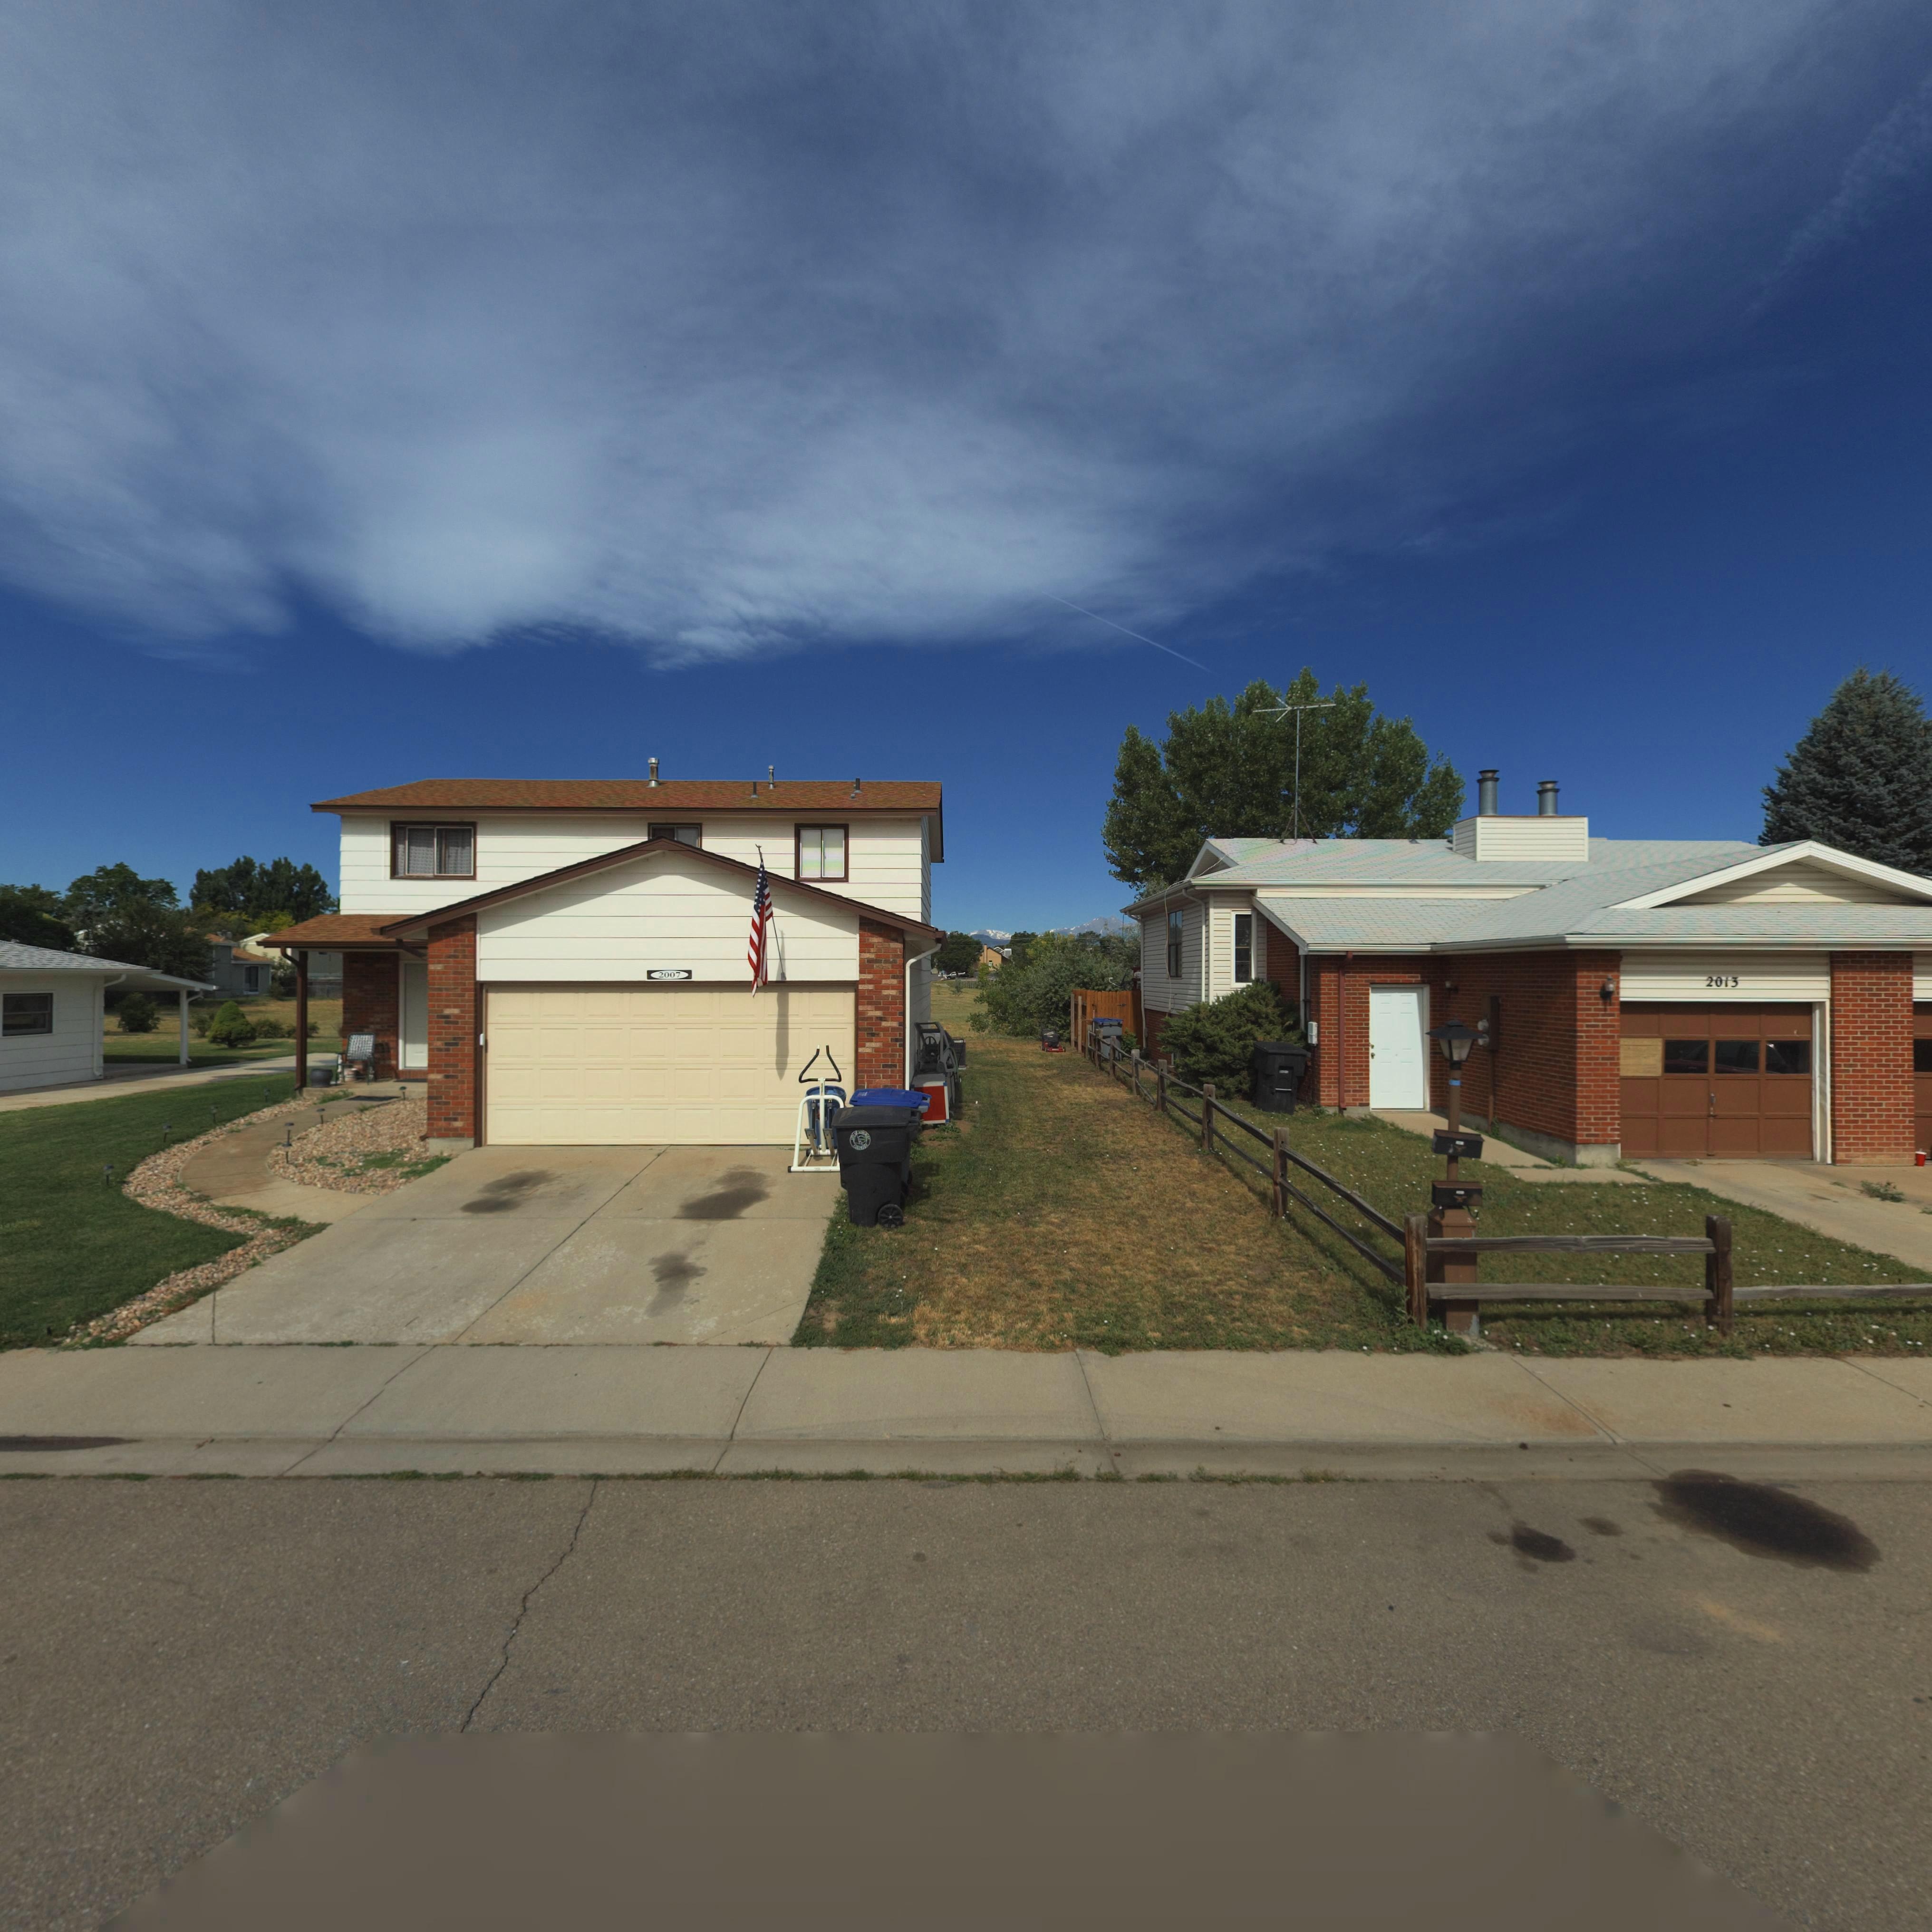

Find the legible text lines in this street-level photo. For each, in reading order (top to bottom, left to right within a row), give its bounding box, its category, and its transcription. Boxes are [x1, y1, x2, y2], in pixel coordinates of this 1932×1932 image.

[658, 971, 681, 978] StreetNumber: 2007
[1705, 975, 1739, 988] StreetNumber: 2013